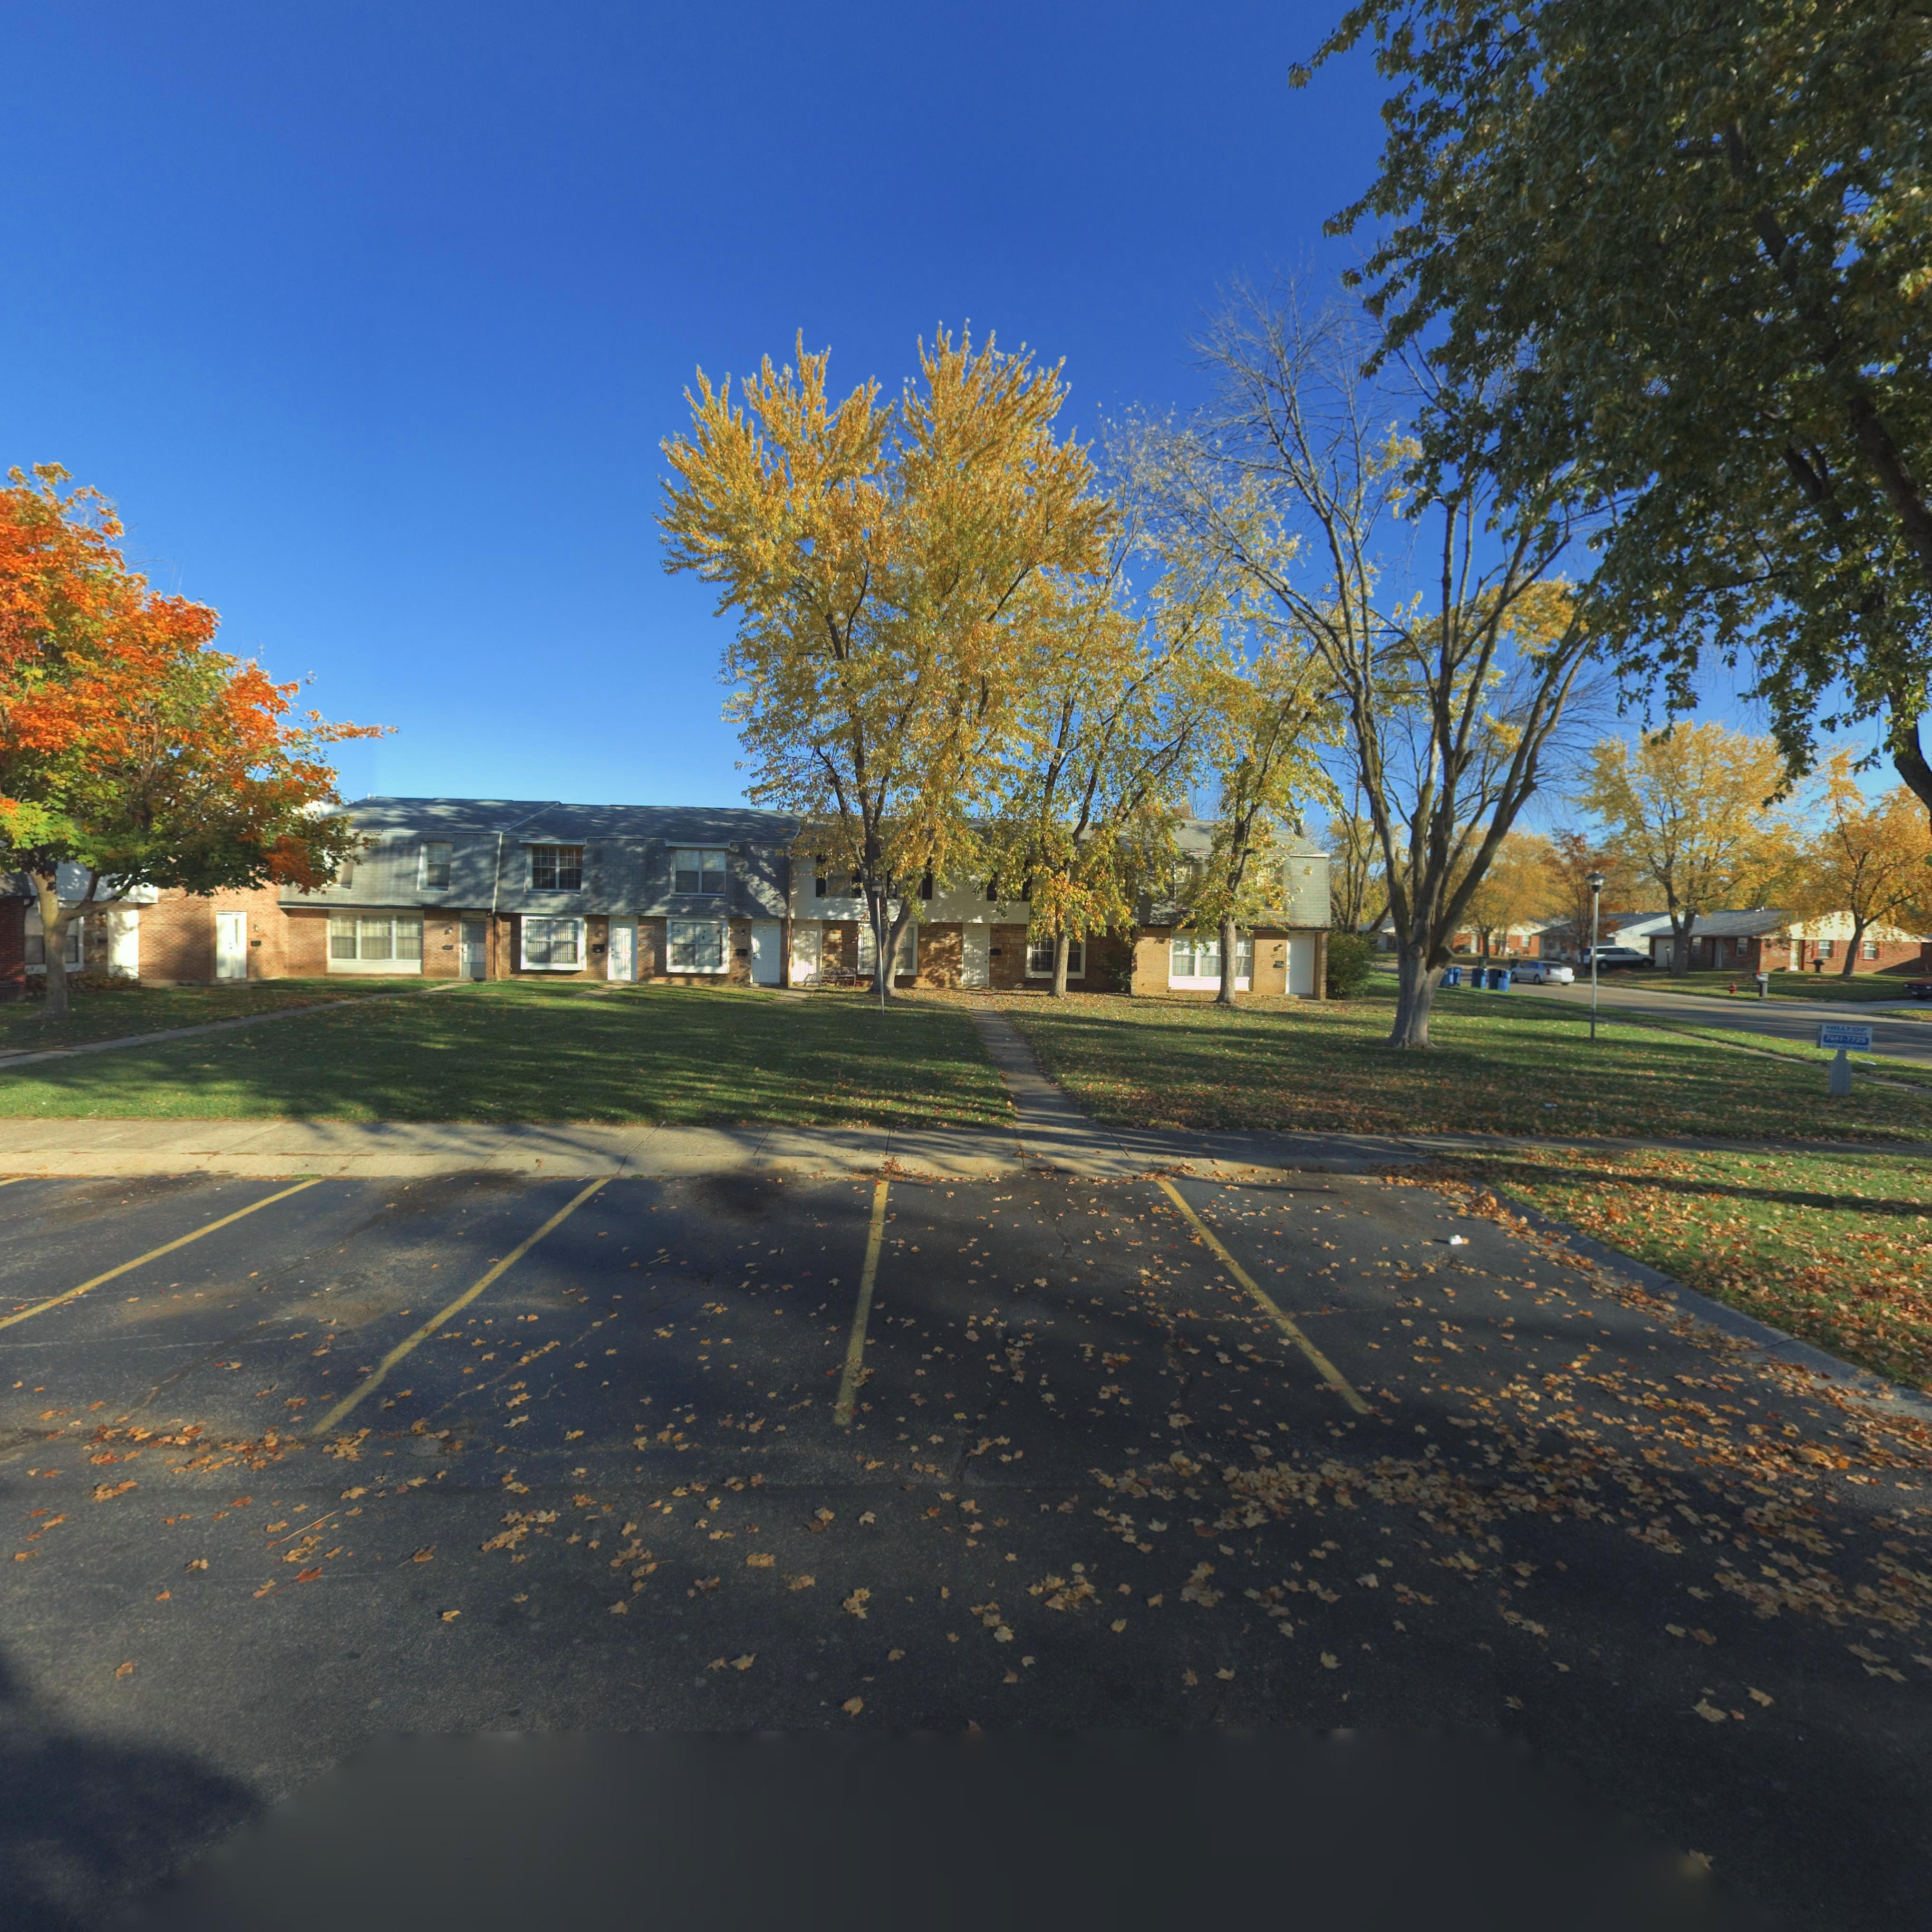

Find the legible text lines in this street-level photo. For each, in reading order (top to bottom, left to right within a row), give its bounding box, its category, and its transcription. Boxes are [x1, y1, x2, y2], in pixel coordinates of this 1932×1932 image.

[472, 912, 482, 916] StreetNumber: **15
[619, 916, 629, 920] StreetNumber: 7717
[763, 919, 771, 924] StreetNumber: 7719
[803, 920, 812, 924] StreetNumber: 7721
[972, 924, 981, 928] StreetNumber: 7723